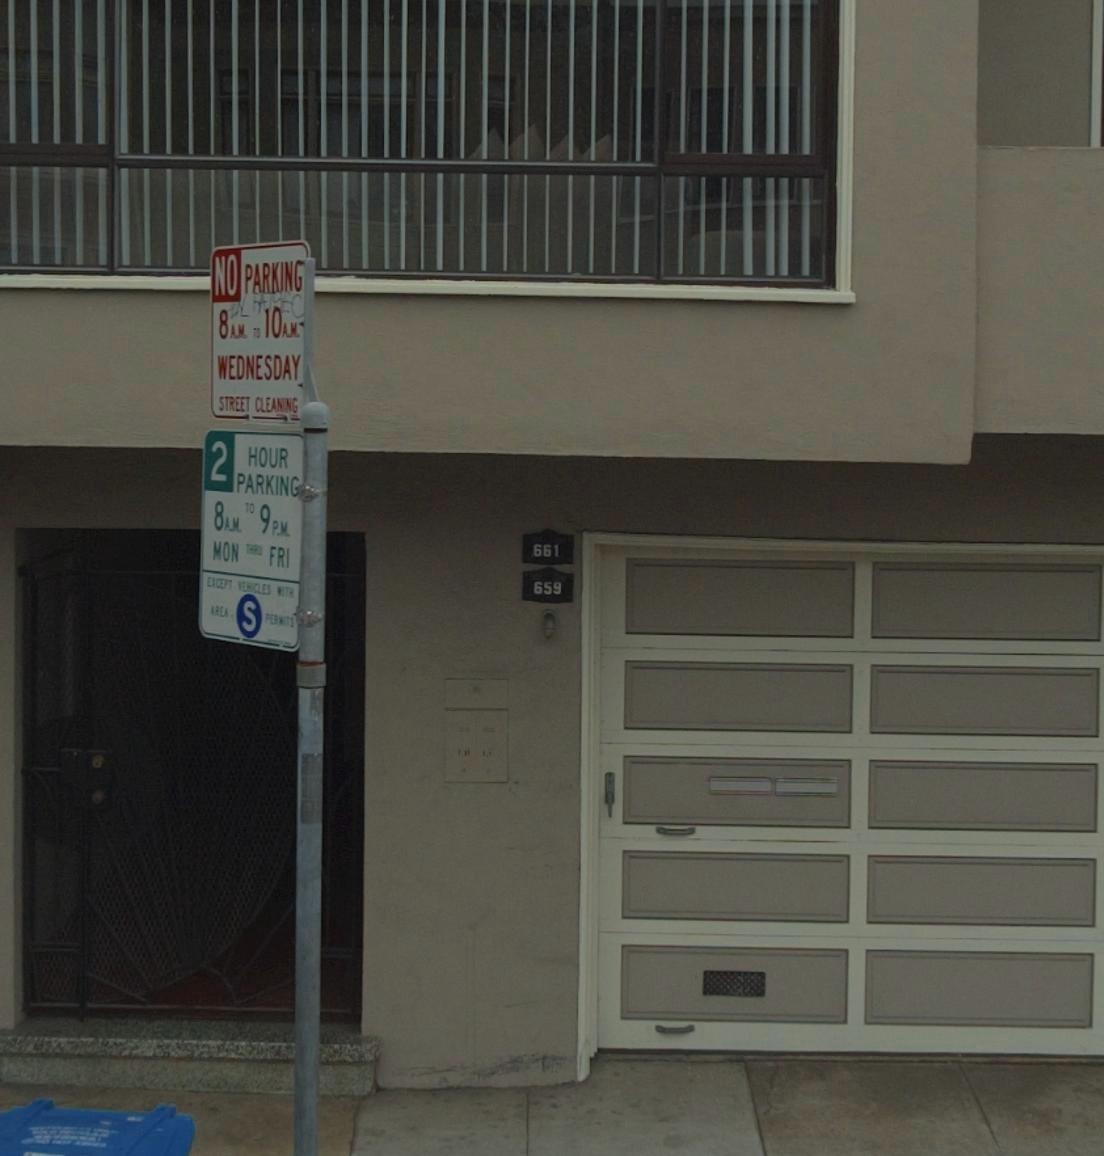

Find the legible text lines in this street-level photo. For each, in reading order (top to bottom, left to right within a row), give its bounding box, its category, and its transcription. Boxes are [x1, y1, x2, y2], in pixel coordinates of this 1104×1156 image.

[212, 252, 306, 299] None: NO PARKING
[218, 307, 249, 342] None: 8AM
[263, 305, 301, 341] None: 10AM
[214, 352, 303, 383] None: WEDNESDAY
[217, 394, 300, 415] None: STREET CLEANING
[208, 438, 229, 484] None: 2
[246, 443, 292, 470] None: HOUR
[235, 470, 301, 499] None: PARKING
[212, 498, 291, 537] None: 8AM TO 9PM
[211, 537, 292, 570] None: MON THRU FRI
[531, 542, 561, 558] StreetNumber: 661
[206, 575, 295, 600] None: EXCEPT VEHICLES WITH
[532, 579, 563, 597] StreetNumber: 659
[209, 603, 230, 619] None: AREA
[239, 598, 259, 634] None: S
[263, 610, 296, 630] None: PERMITS